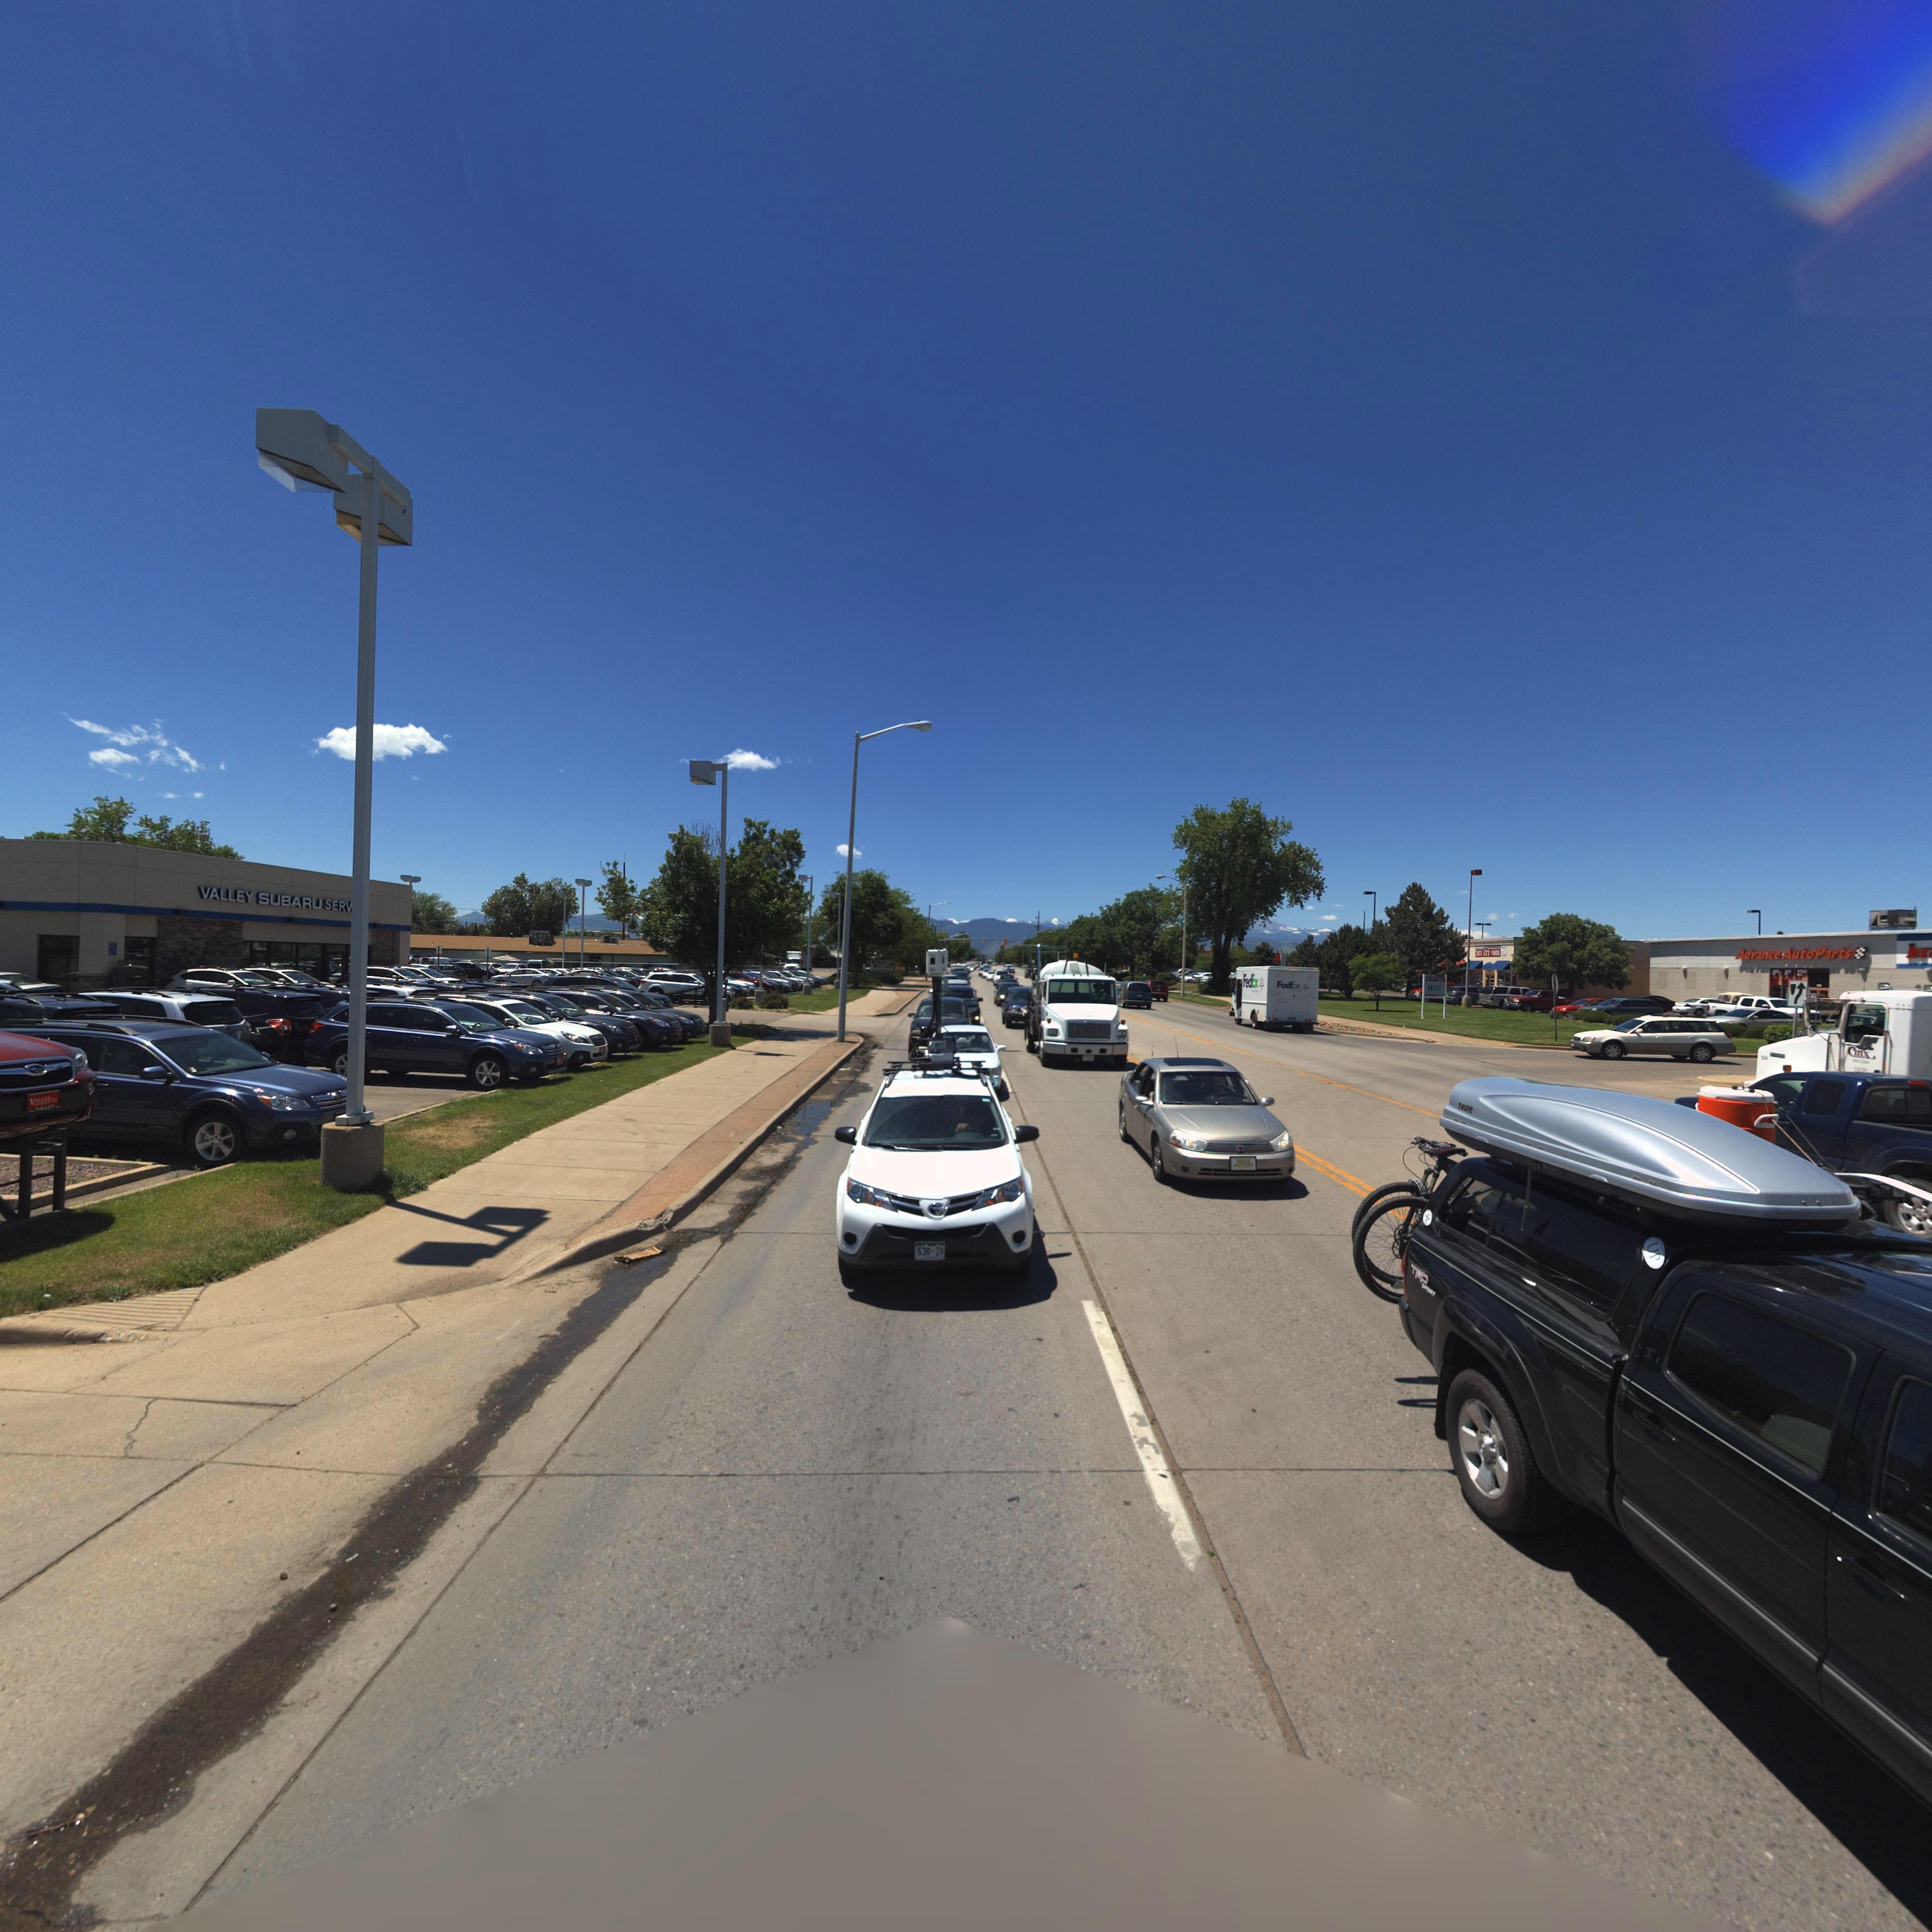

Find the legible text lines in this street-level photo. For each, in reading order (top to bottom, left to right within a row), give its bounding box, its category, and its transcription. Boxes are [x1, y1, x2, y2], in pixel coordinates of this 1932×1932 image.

[199, 886, 354, 912] BusinessName: VALLEY SUBARU SERV
[1734, 947, 1853, 959] BusinessName: Advance AutoParts
[1905, 942, 1932, 958] BusinessName: br